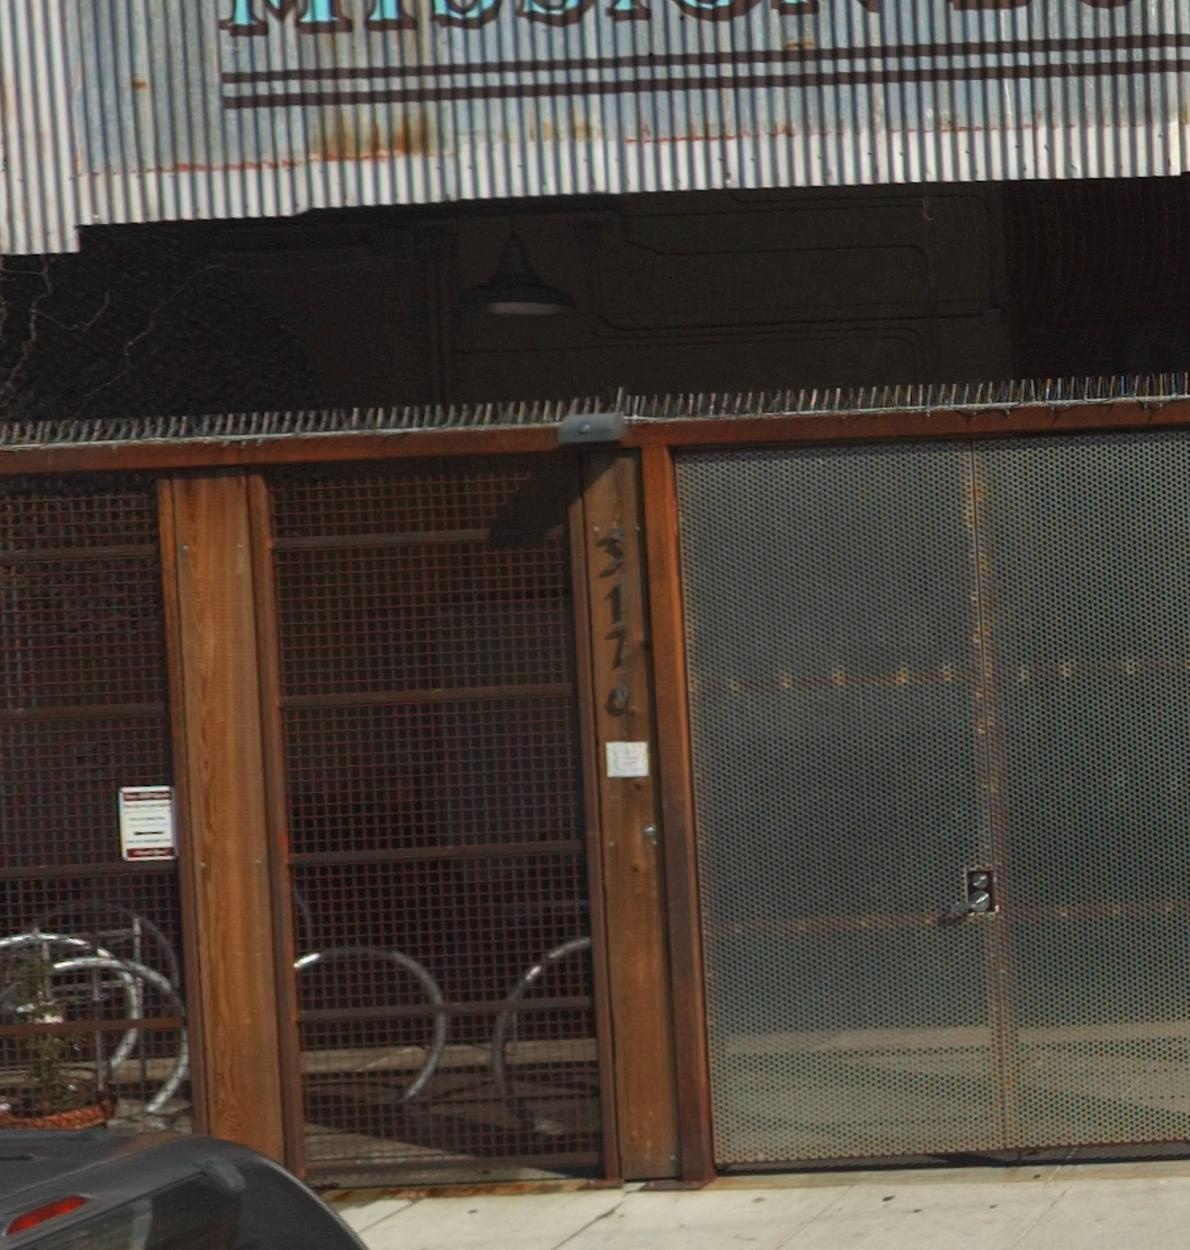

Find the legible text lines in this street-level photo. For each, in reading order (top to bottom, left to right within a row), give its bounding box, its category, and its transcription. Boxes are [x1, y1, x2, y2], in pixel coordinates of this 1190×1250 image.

[606, 524, 634, 704] StreetNumber: 3176